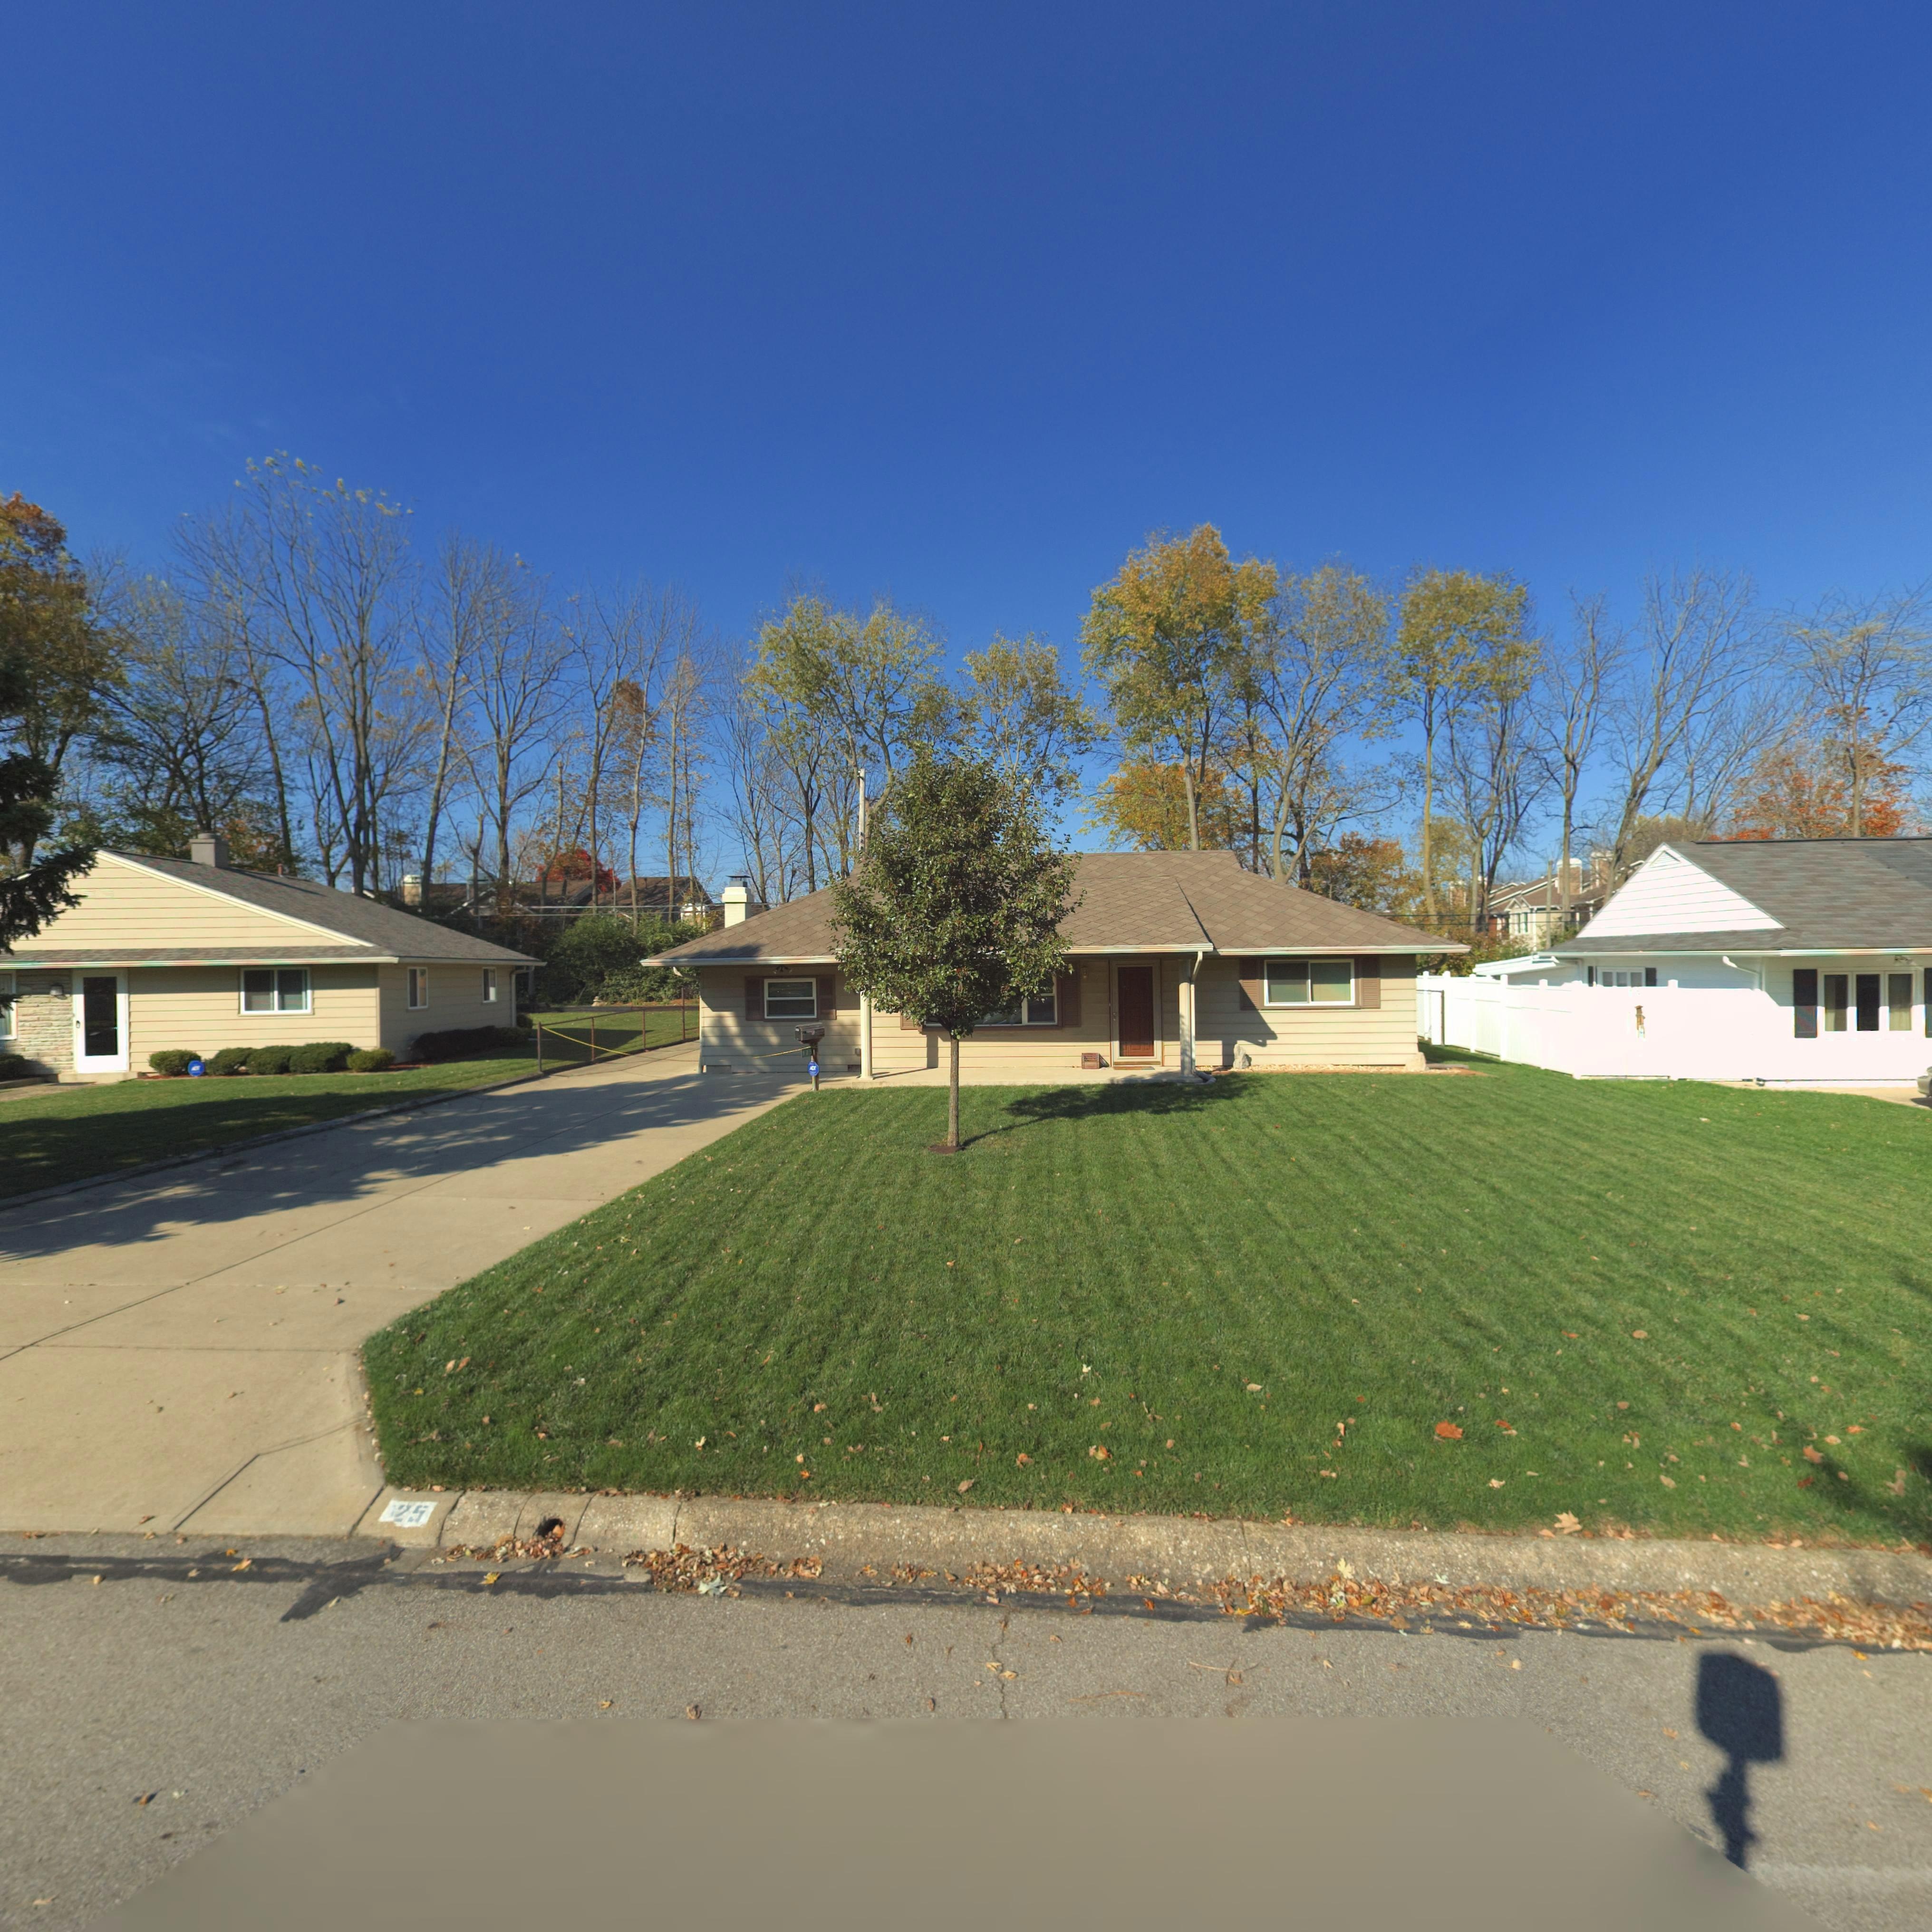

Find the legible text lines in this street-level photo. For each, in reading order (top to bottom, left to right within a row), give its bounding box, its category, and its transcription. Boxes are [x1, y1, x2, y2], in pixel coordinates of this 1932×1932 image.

[809, 1065, 817, 1071] None: ADT
[391, 1502, 432, 1524] StreetName: 25